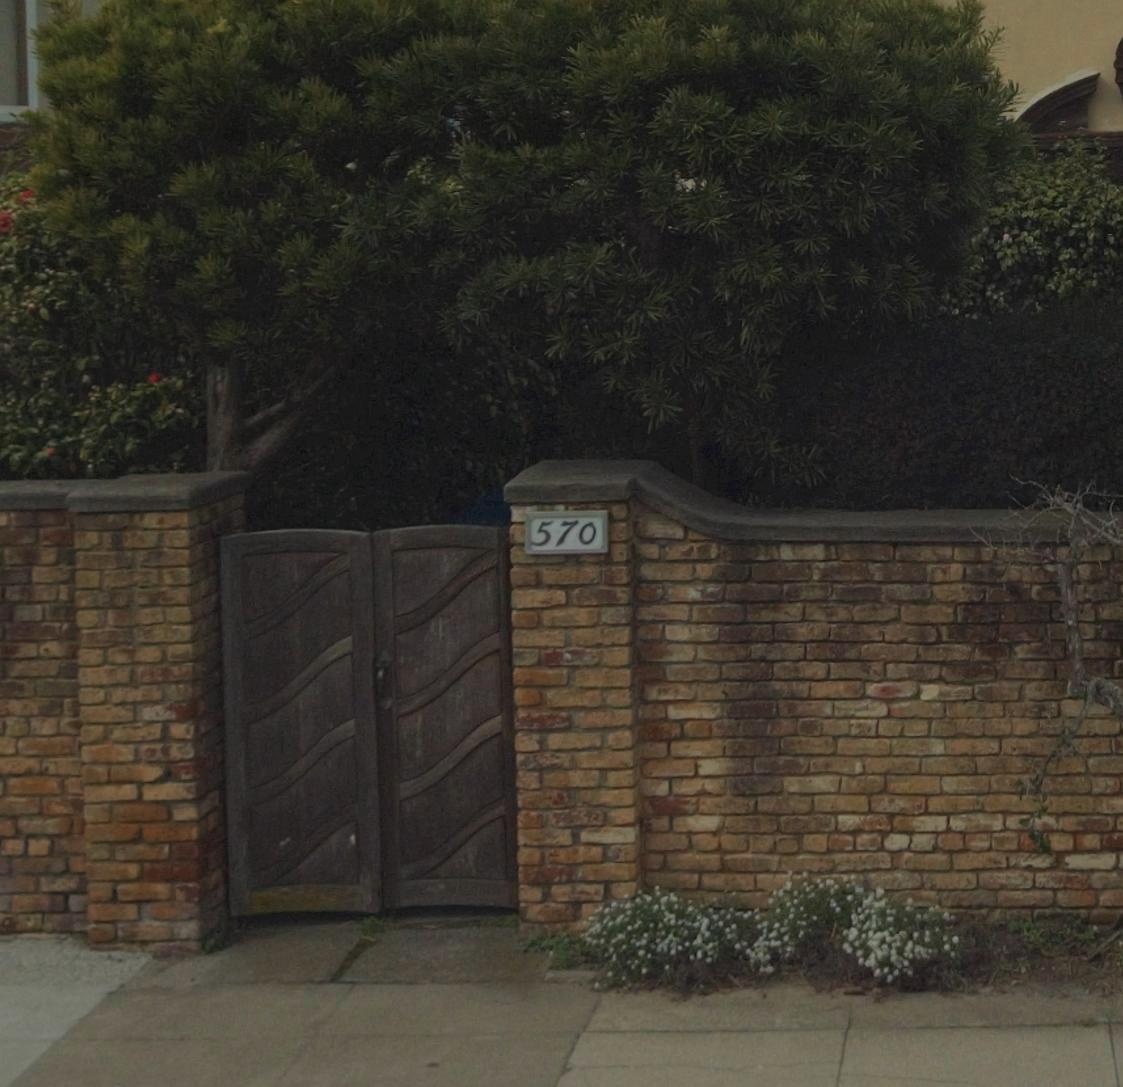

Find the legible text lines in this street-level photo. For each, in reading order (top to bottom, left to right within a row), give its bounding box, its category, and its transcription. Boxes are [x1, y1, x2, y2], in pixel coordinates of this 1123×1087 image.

[530, 520, 597, 547] StreetNumber: 570